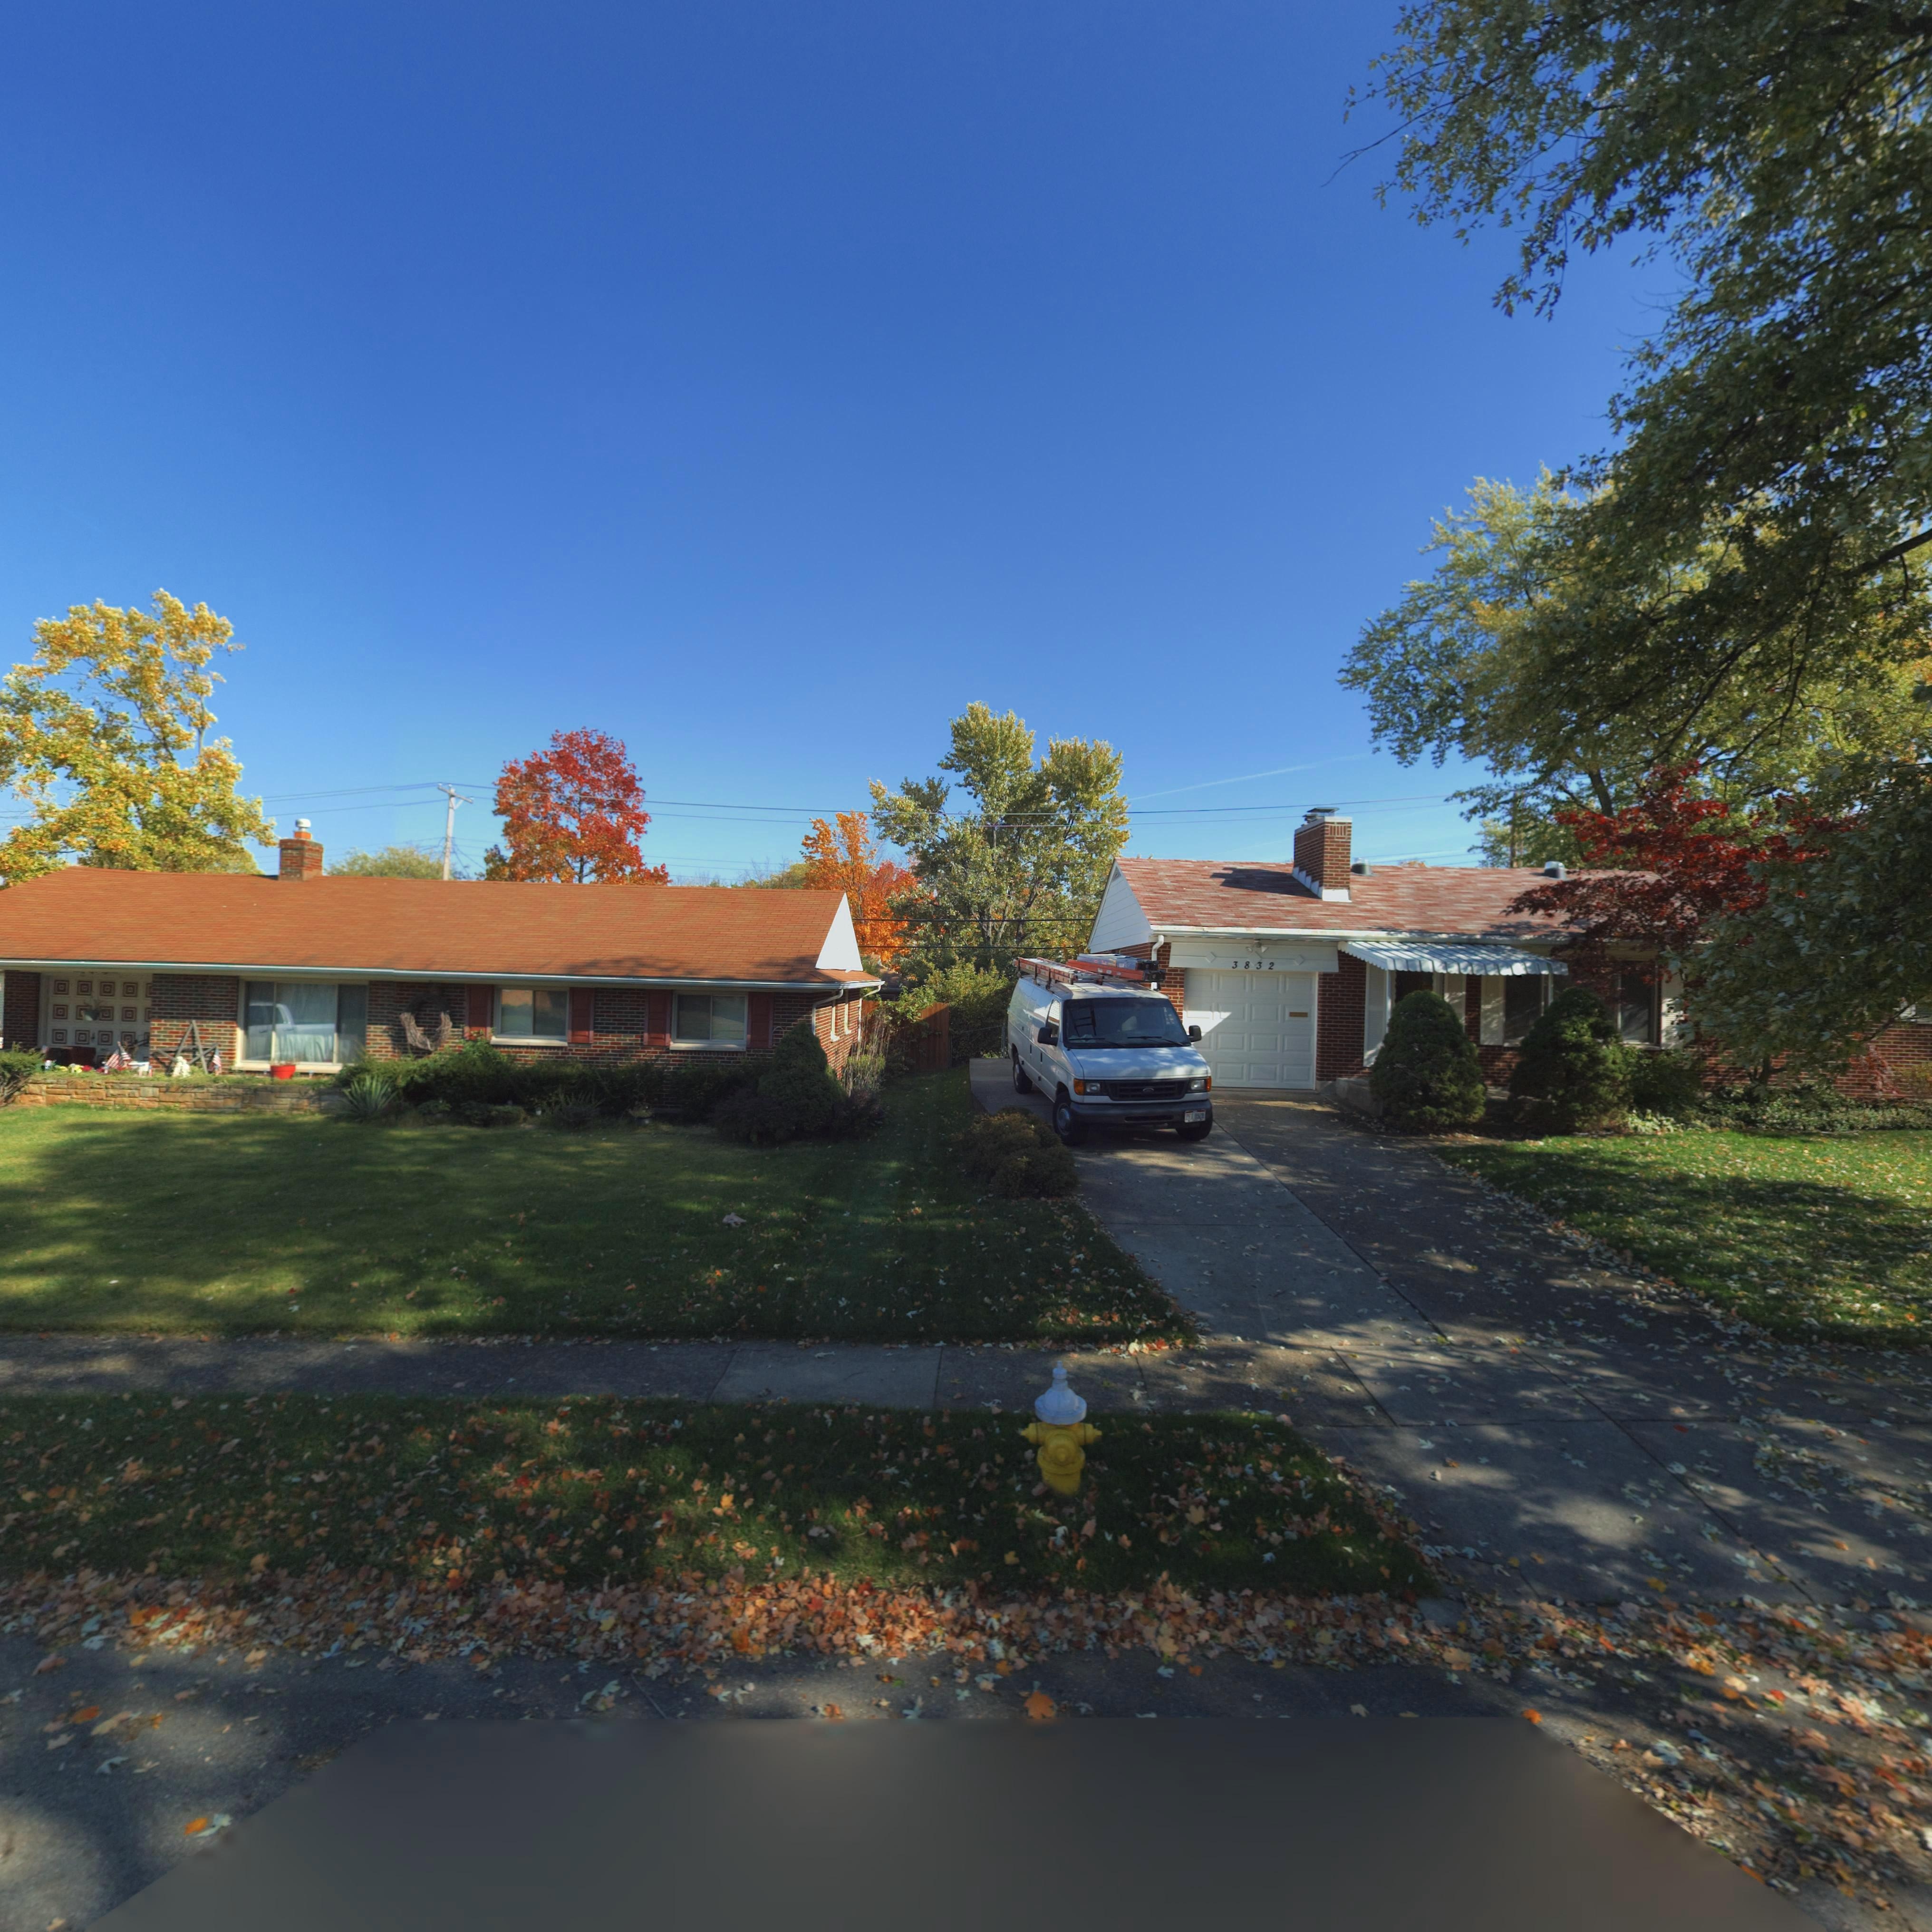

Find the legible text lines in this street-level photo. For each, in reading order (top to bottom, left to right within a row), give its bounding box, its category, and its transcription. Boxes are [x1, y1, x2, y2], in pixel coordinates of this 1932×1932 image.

[1230, 960, 1276, 971] StreetNumber: 38*32